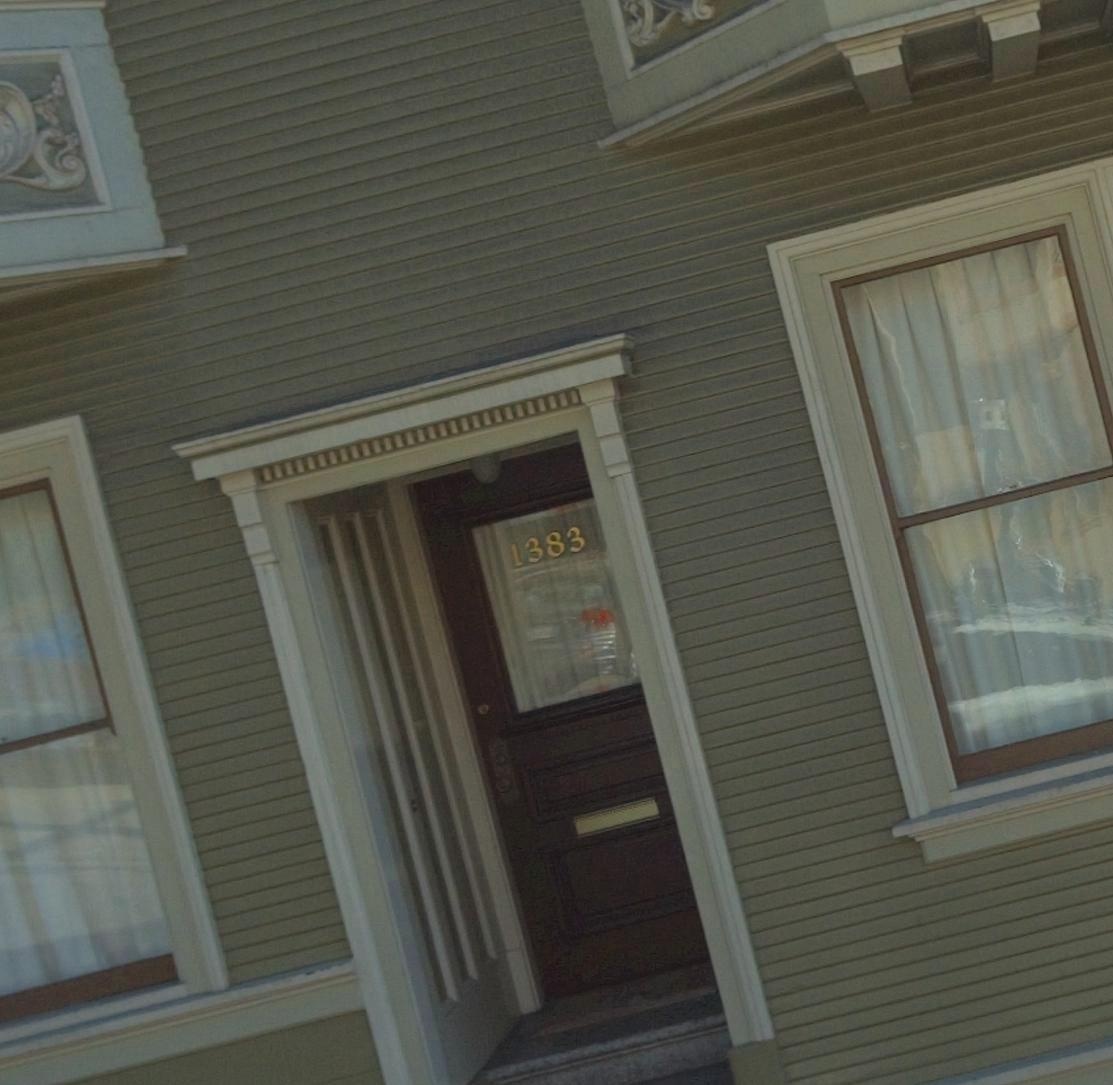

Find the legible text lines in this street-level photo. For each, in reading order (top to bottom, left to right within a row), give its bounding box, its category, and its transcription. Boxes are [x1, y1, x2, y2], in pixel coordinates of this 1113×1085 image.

[506, 523, 590, 570] StreetNumber: 1383